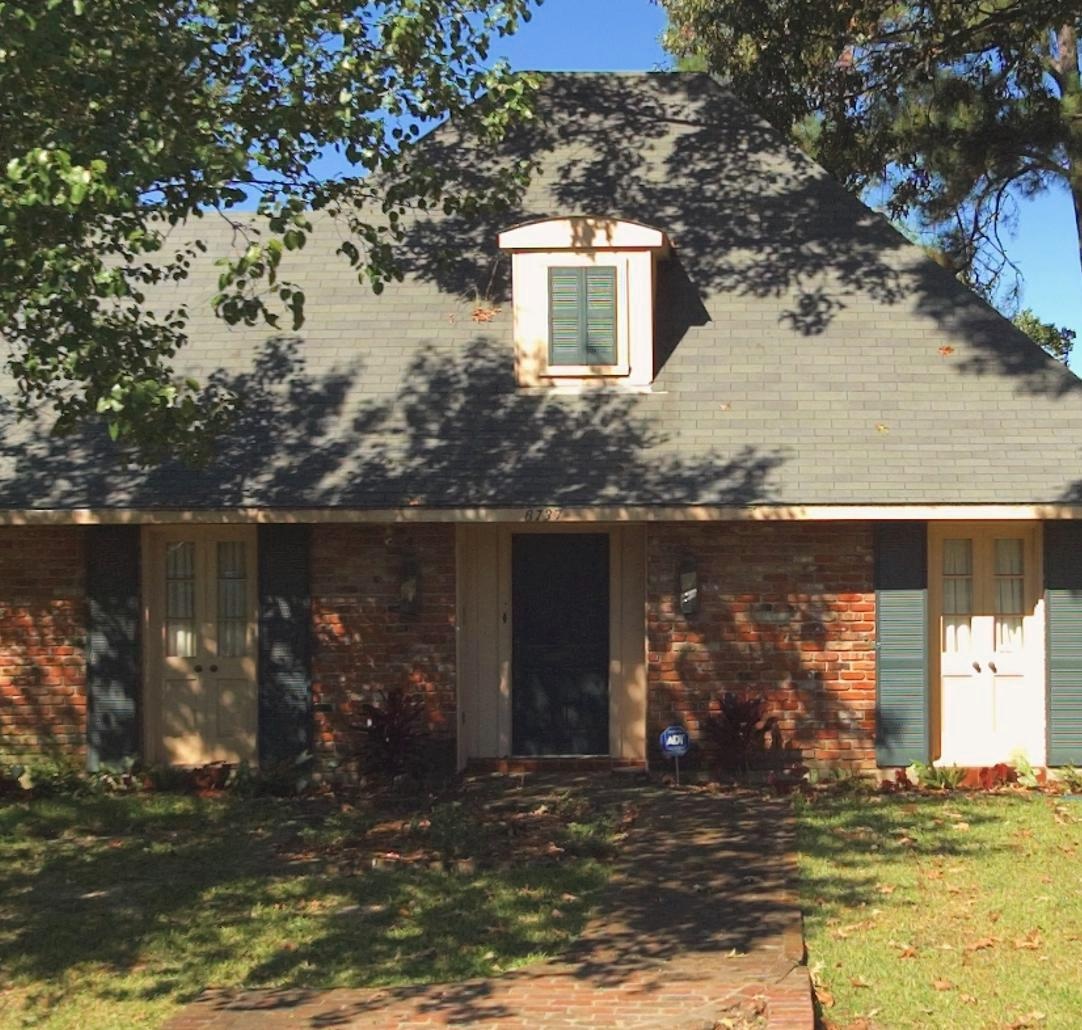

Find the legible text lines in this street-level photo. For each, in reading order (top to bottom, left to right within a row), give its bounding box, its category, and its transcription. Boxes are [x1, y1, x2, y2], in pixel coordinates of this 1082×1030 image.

[523, 508, 564, 523] StreetNumber: 8737
[662, 733, 686, 747] None: ADT